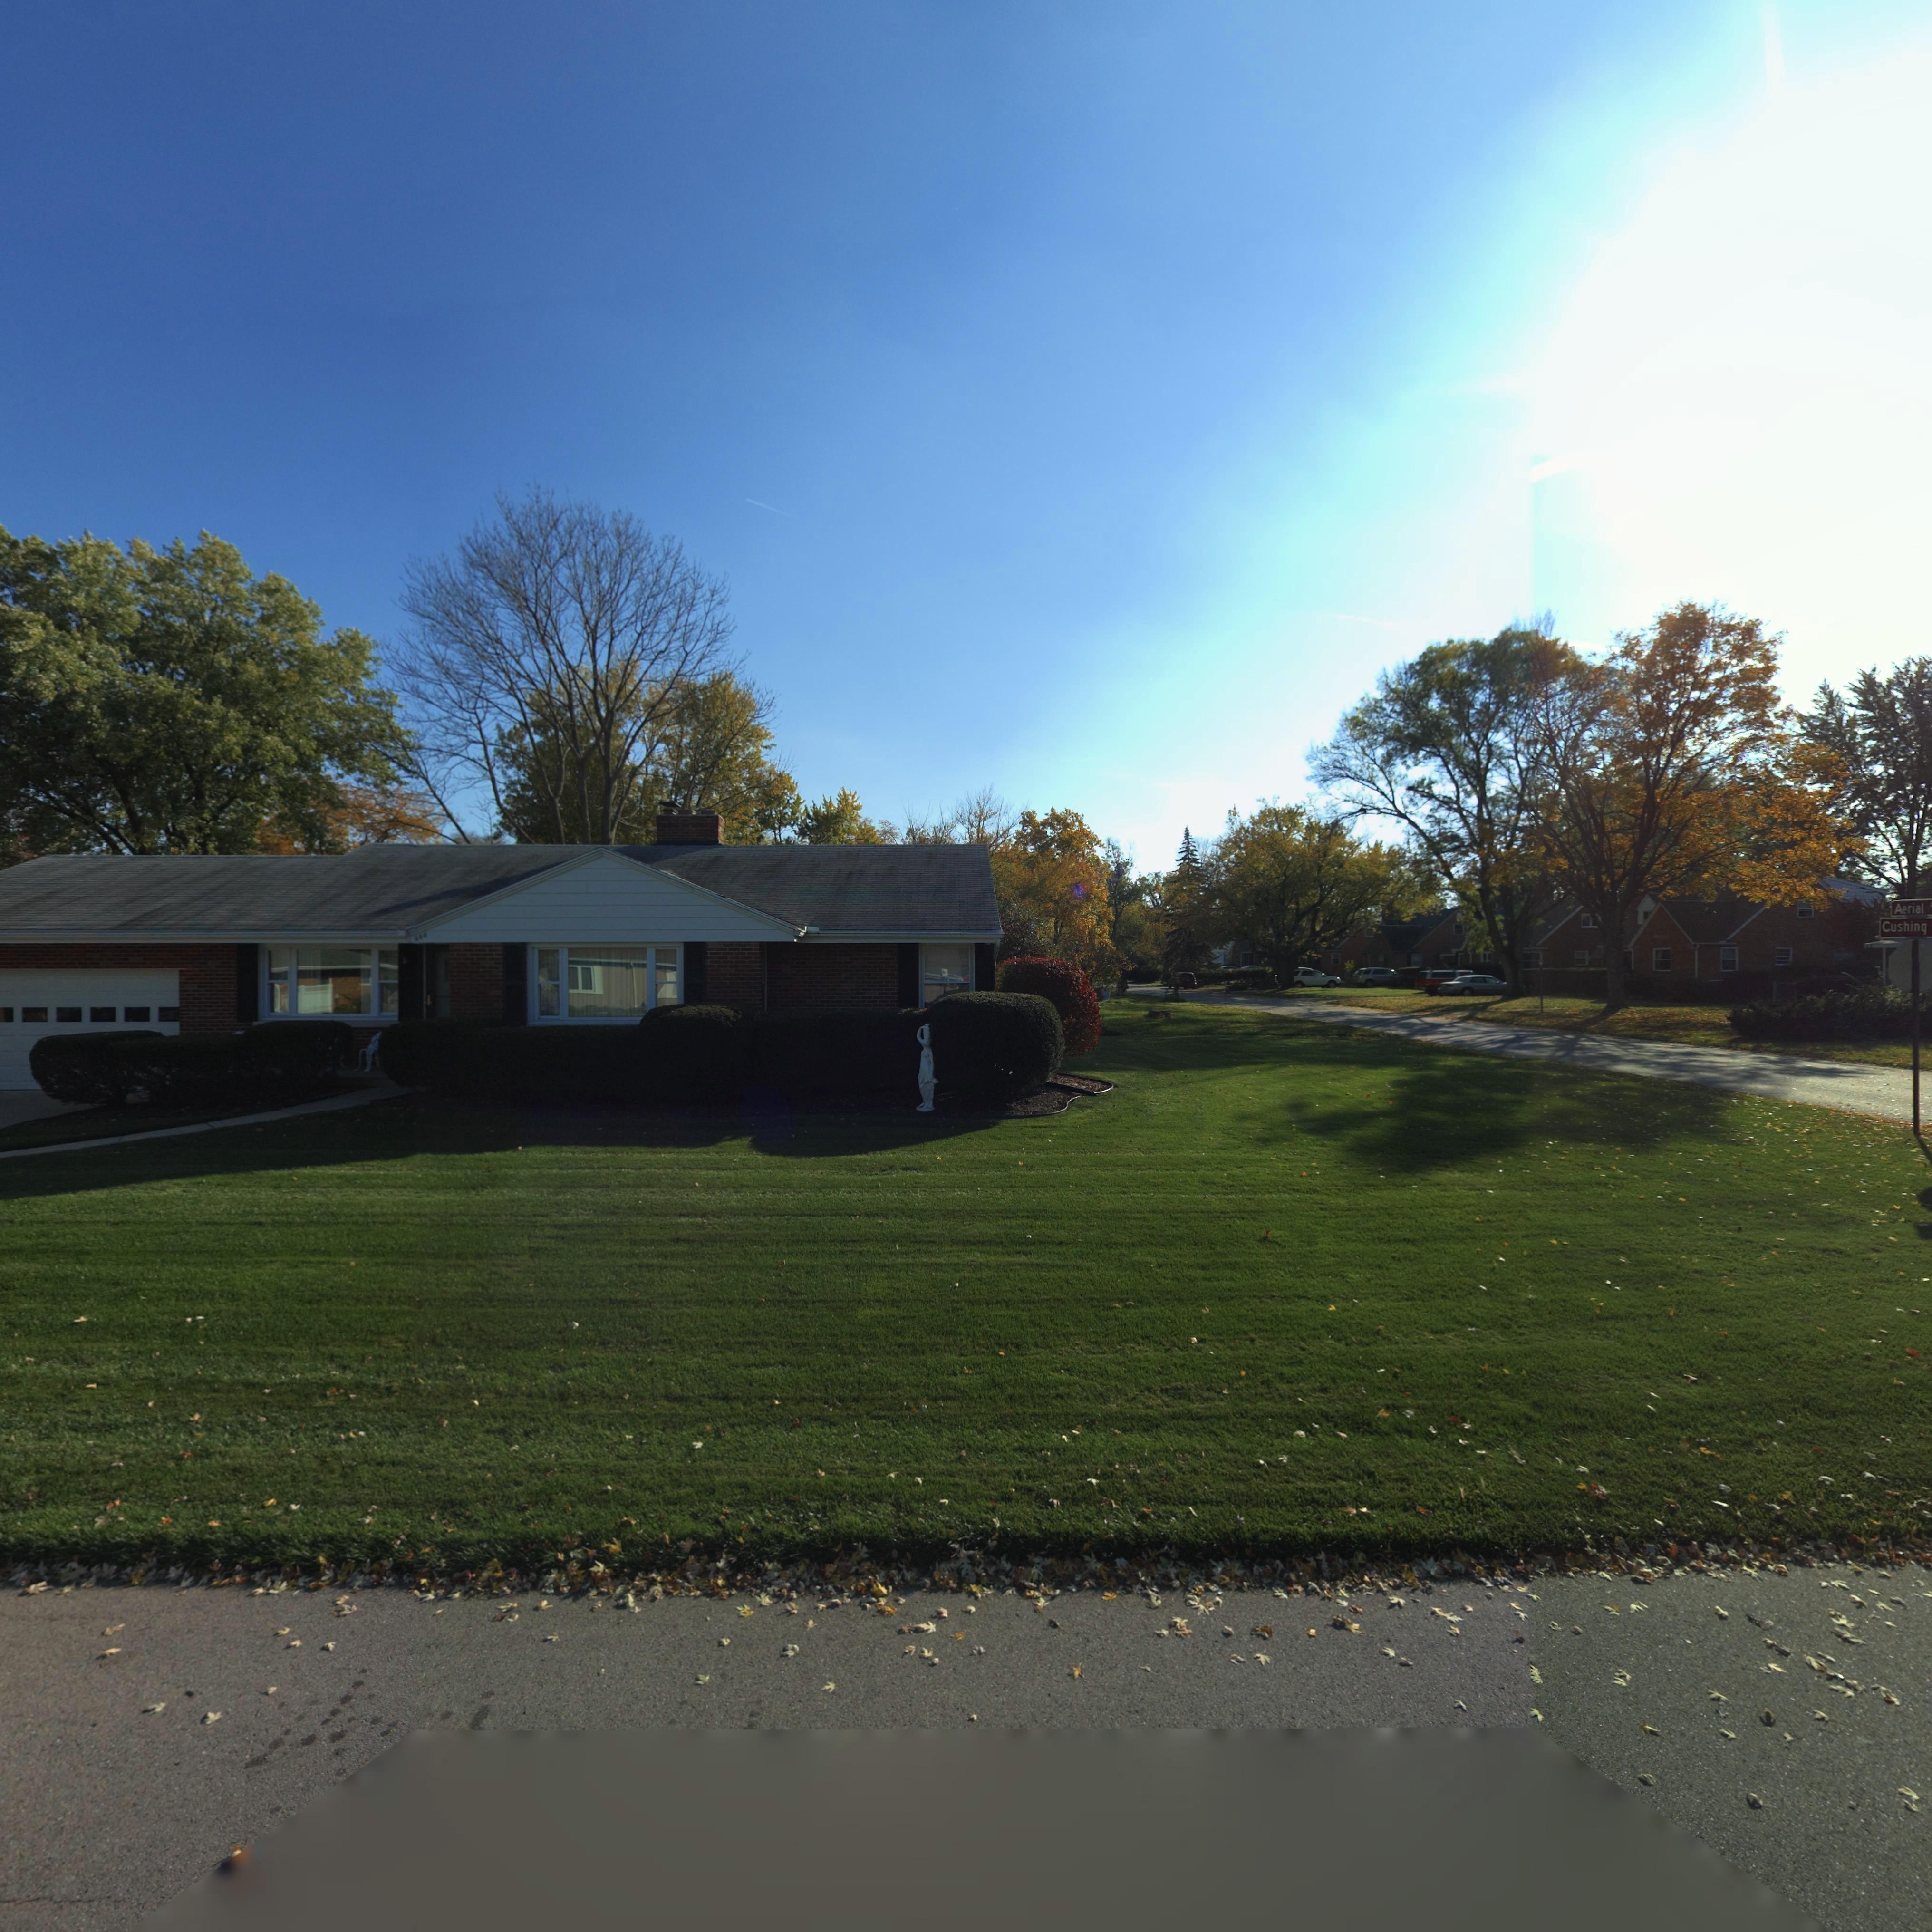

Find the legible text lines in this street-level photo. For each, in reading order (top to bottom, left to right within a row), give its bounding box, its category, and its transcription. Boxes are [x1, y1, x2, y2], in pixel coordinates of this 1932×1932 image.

[414, 931, 428, 942] StreetNumber: 600